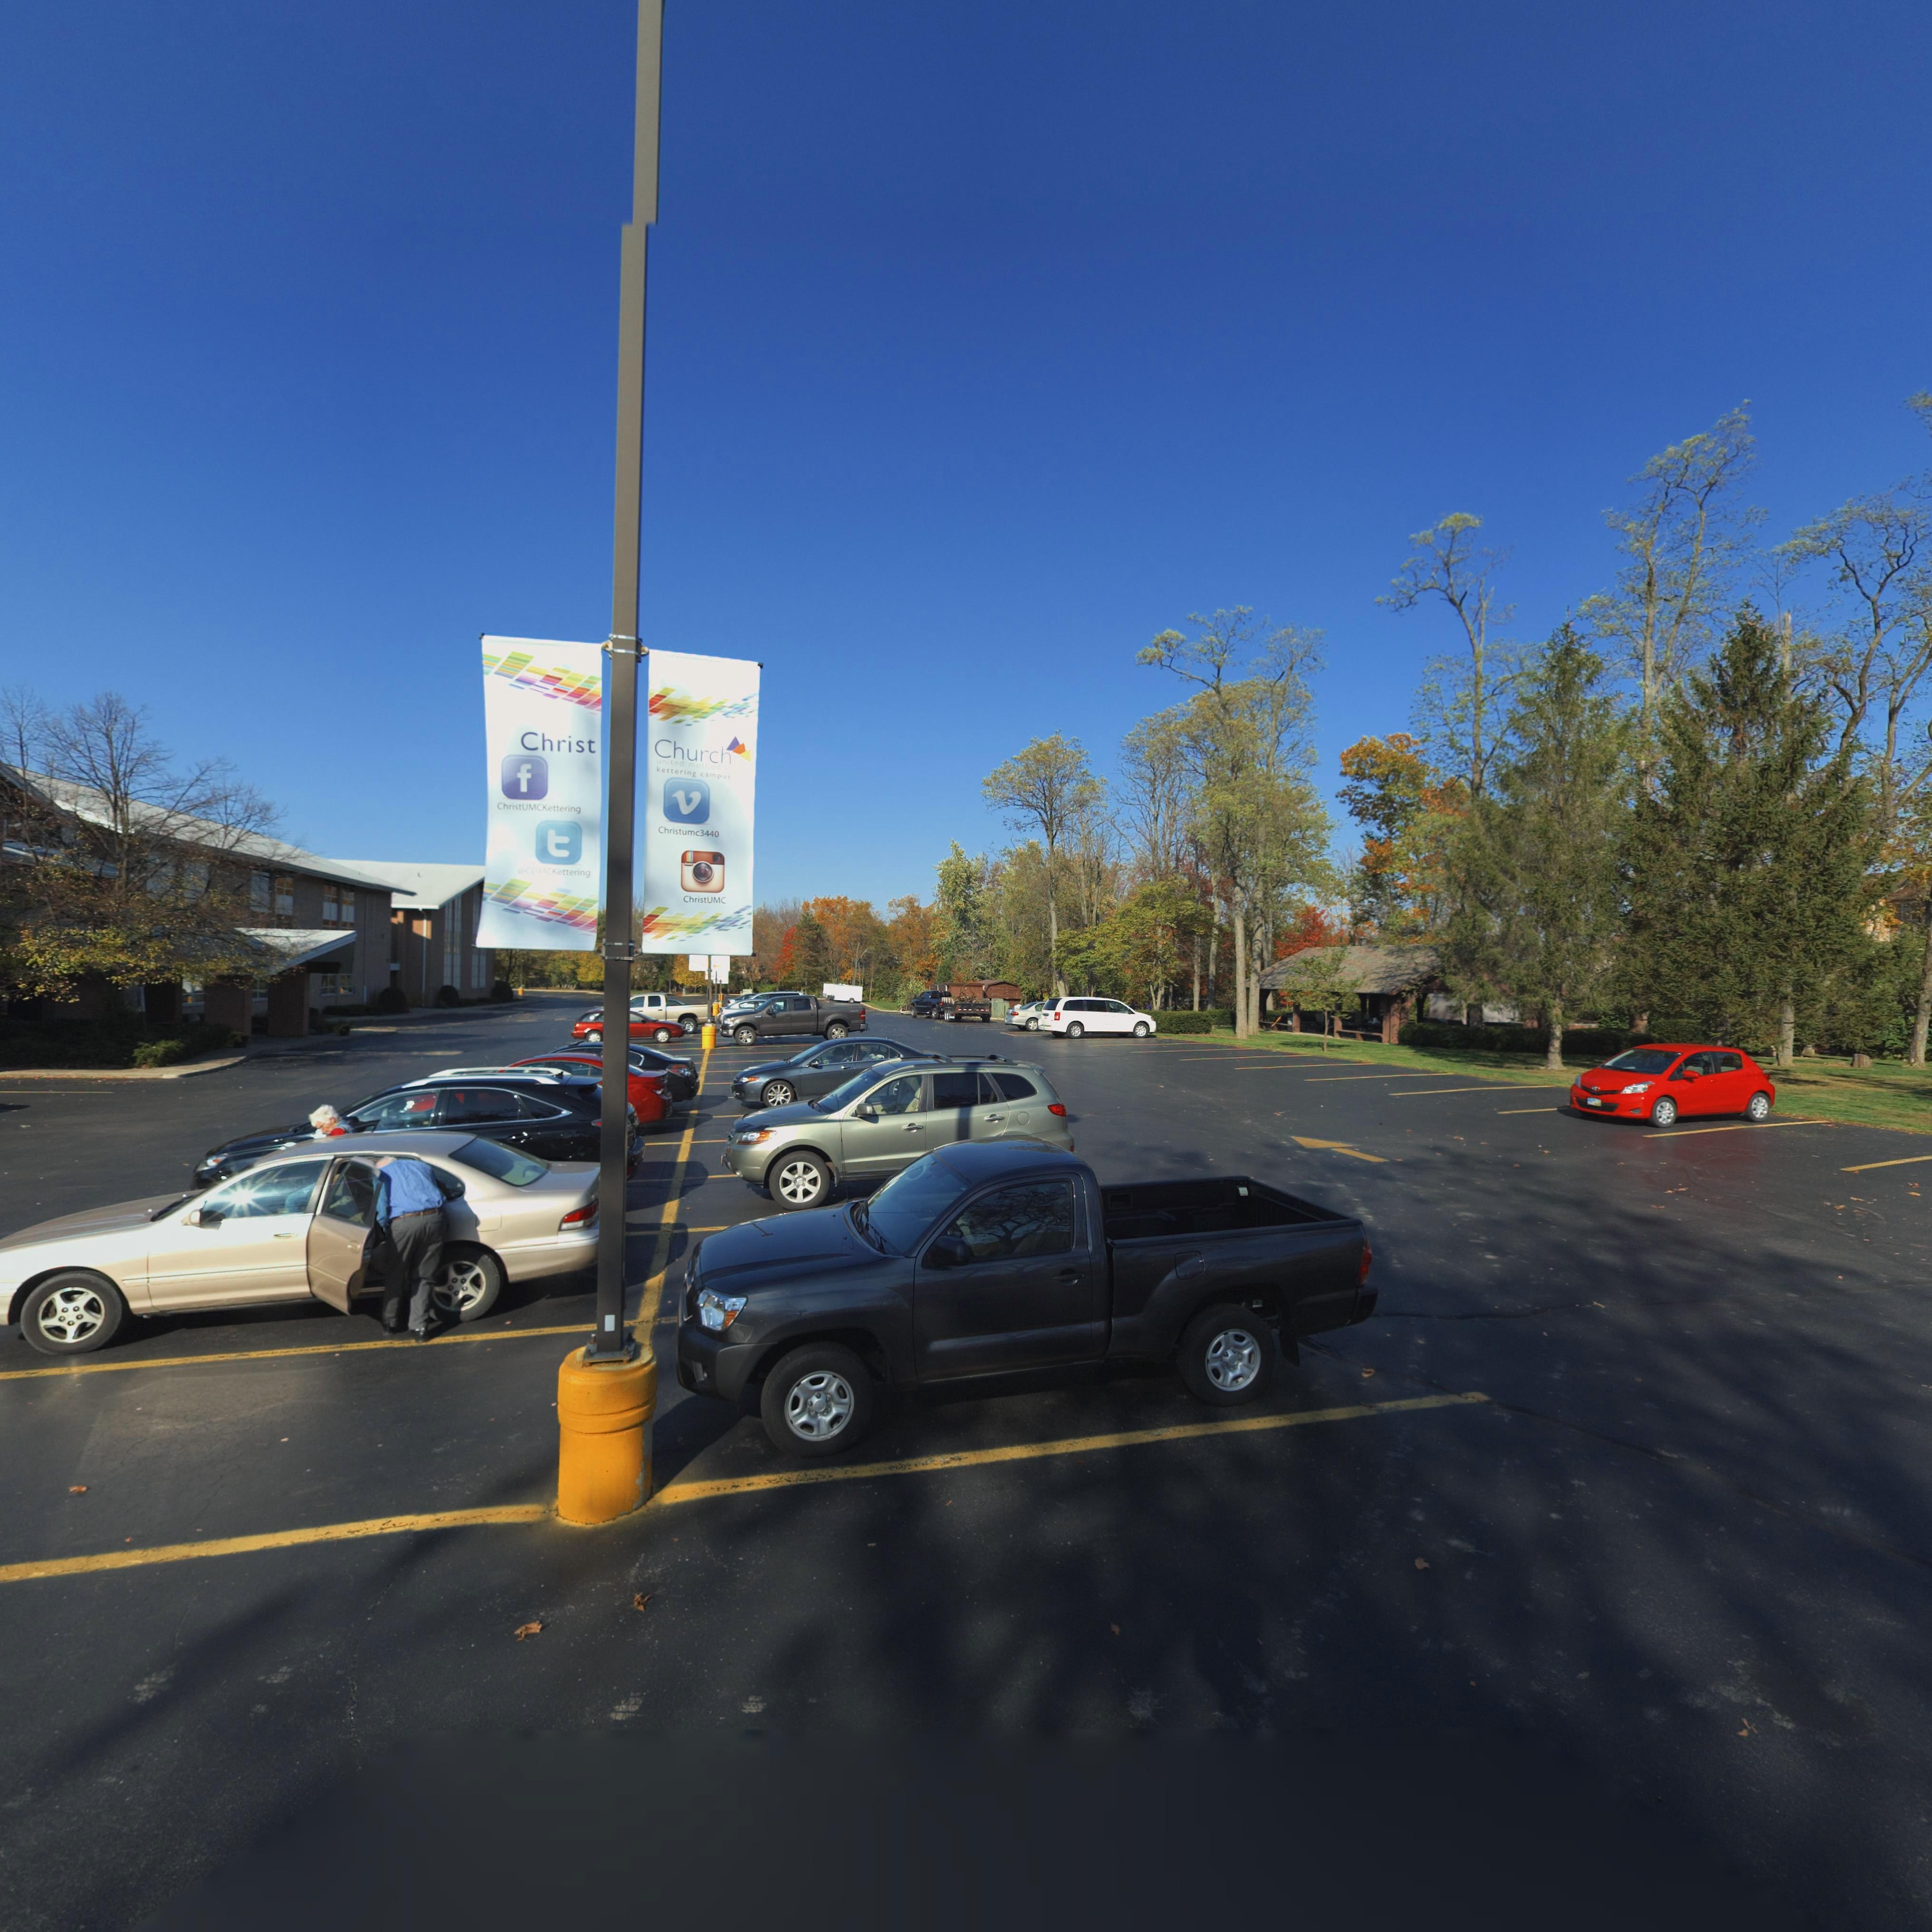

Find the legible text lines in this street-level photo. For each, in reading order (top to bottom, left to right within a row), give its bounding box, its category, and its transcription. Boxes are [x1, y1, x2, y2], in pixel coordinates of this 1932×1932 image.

[518, 728, 598, 756] None: Christ
[653, 737, 733, 767] None: Church
[515, 762, 533, 794] None: f
[655, 764, 733, 782] None: kettering campus
[496, 800, 582, 816] None: ChristUMCKettering
[669, 786, 704, 817] None: v
[545, 825, 572, 859] None: t
[657, 824, 721, 839] None: Christumc3440
[525, 865, 592, 879] None: CUMCKettering
[682, 894, 728, 906] None: ChristUMC